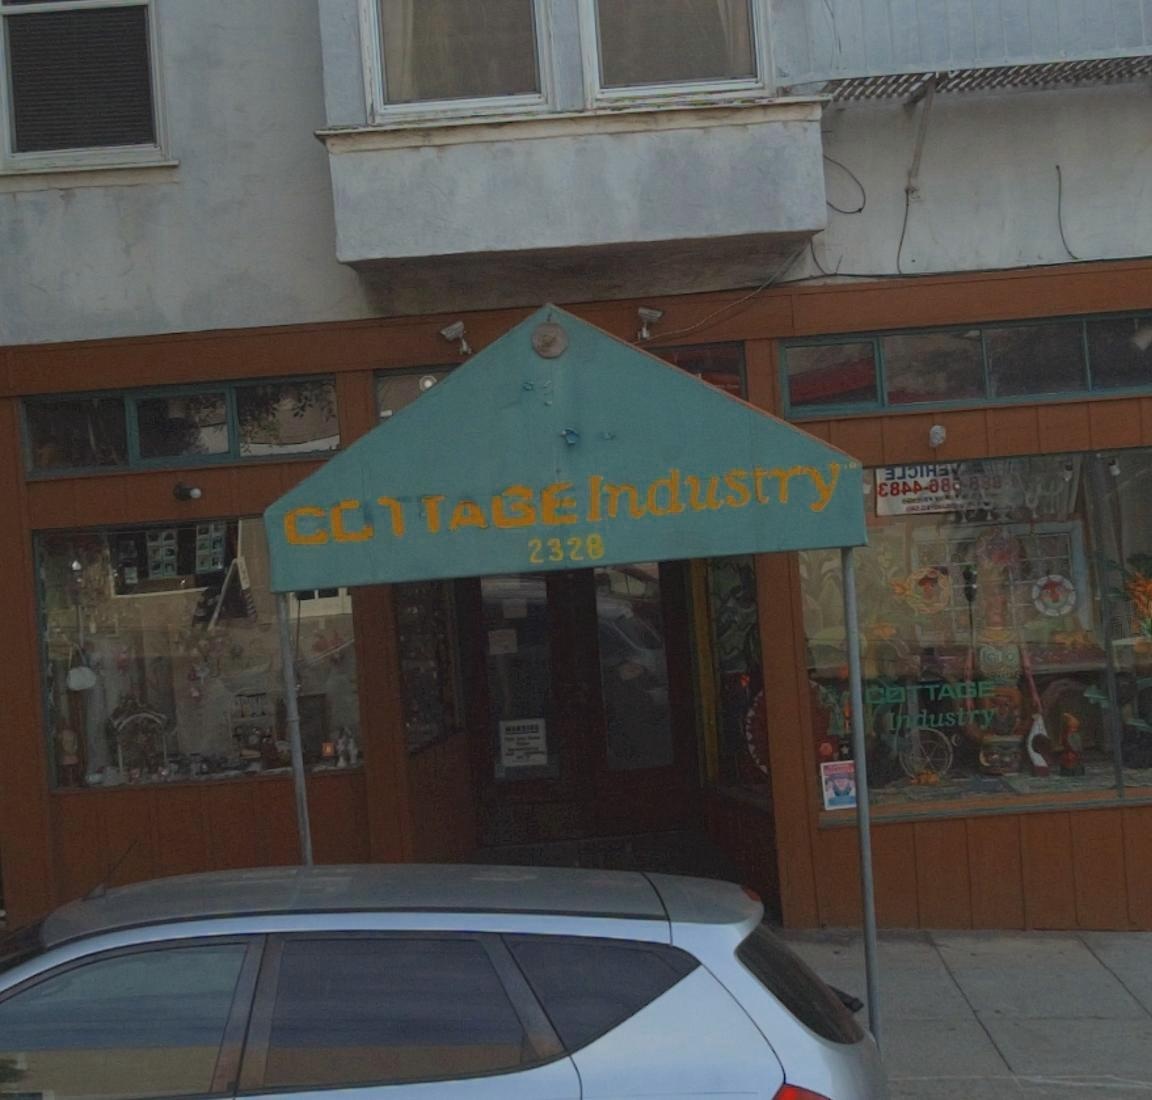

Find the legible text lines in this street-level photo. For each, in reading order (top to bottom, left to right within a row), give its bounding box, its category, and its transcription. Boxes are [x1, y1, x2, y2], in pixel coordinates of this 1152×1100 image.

[882, 460, 951, 484] None: ***IH*
[875, 475, 954, 500] None: *8**-*8
[278, 457, 846, 553] BusinessName: COTTAGE Industry
[525, 530, 607, 567] StreetNumber: 2328
[861, 678, 1000, 708] BusinessName: COTTAGE
[886, 704, 999, 733] BusinessName: Industry